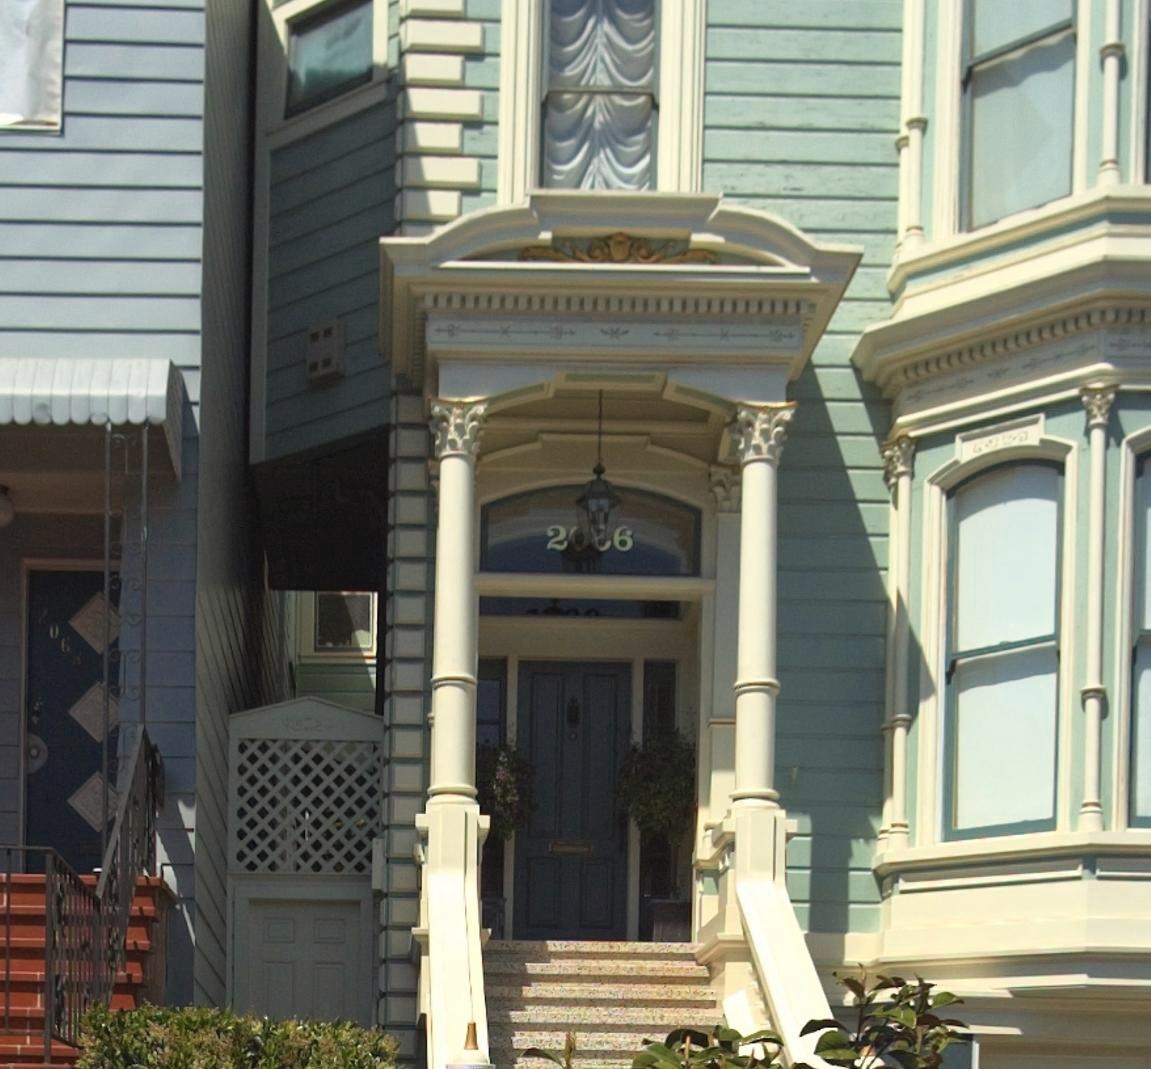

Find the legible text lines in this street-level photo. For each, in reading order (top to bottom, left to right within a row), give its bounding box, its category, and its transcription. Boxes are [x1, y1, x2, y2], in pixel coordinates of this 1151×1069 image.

[545, 525, 635, 553] StreetNumber: 20*6
[37, 607, 82, 668] StreetNumber: 2068